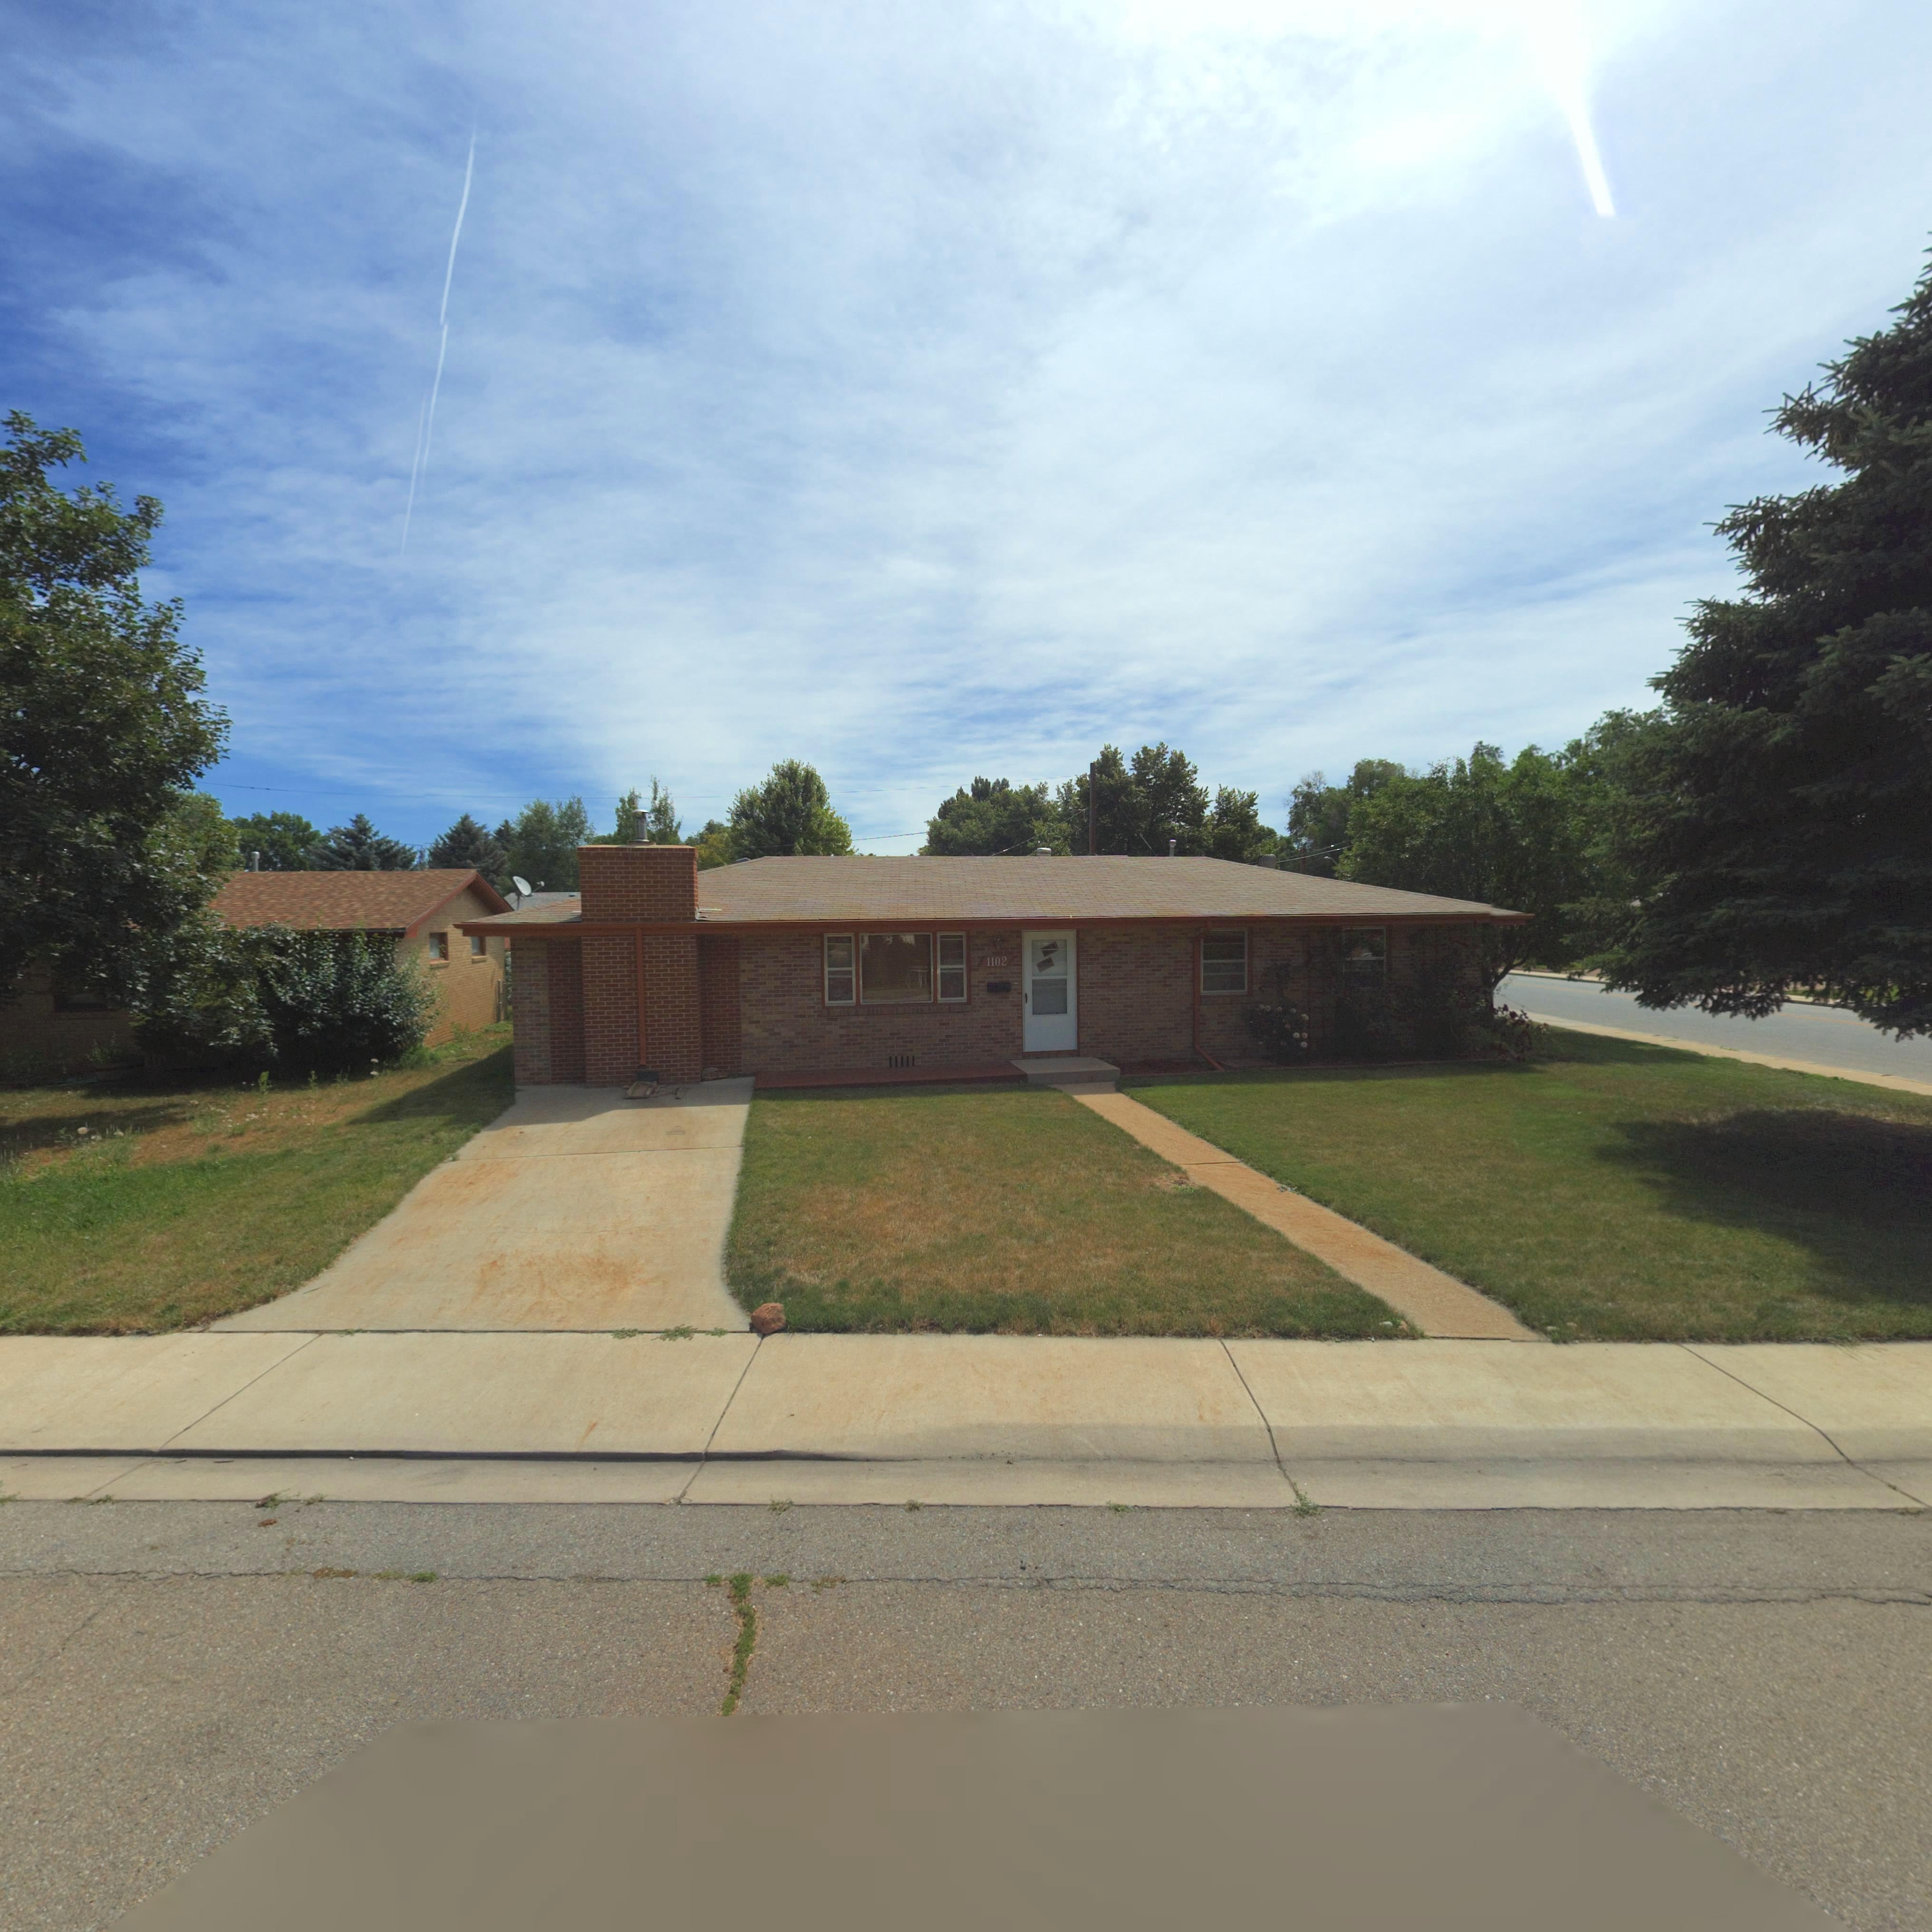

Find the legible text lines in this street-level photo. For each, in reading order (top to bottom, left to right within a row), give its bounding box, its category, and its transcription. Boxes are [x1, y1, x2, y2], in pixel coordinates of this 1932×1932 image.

[987, 956, 1007, 966] StreetNumber: 1102